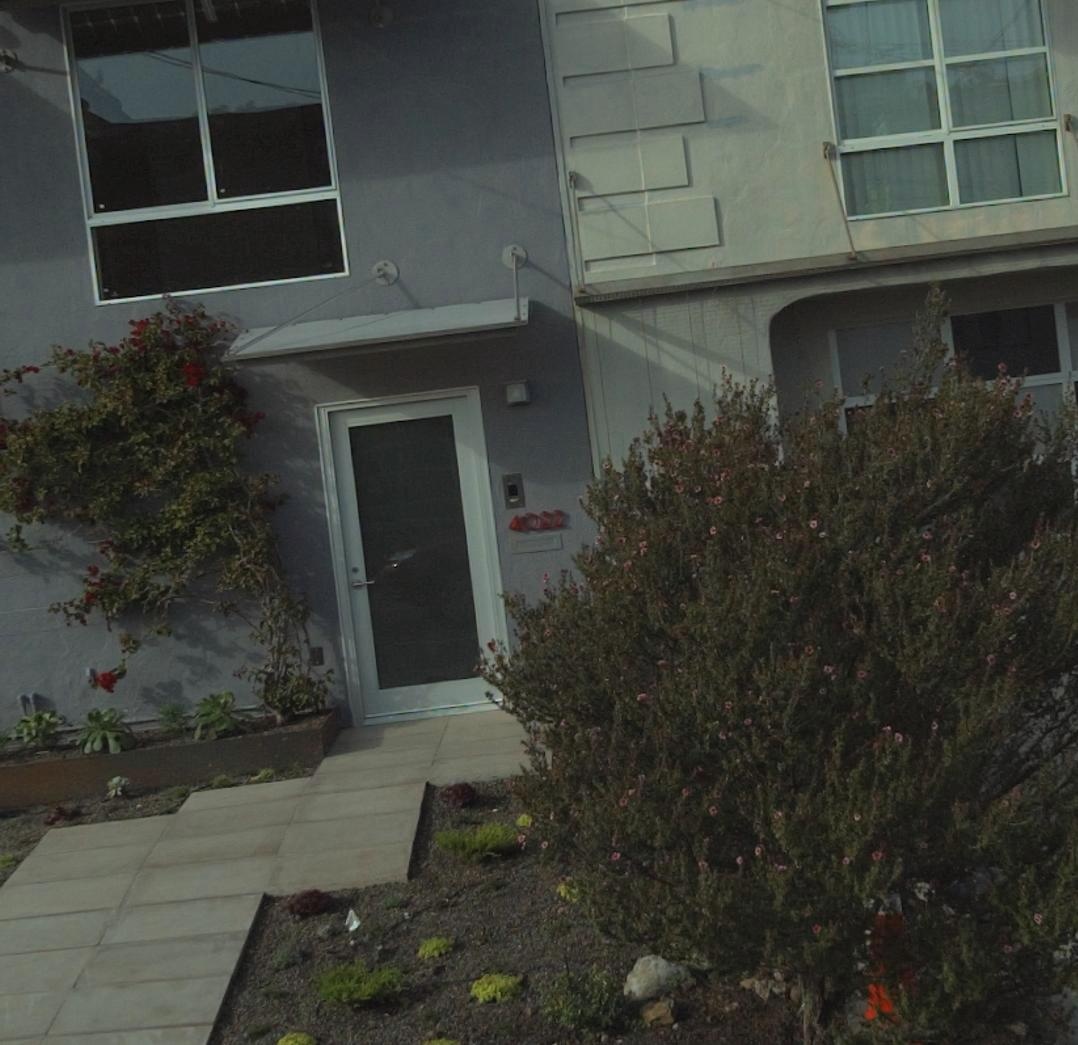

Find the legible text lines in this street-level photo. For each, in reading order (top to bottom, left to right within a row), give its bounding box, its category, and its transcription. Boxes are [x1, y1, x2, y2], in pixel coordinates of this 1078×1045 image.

[508, 508, 564, 534] StreetNumber: 4022